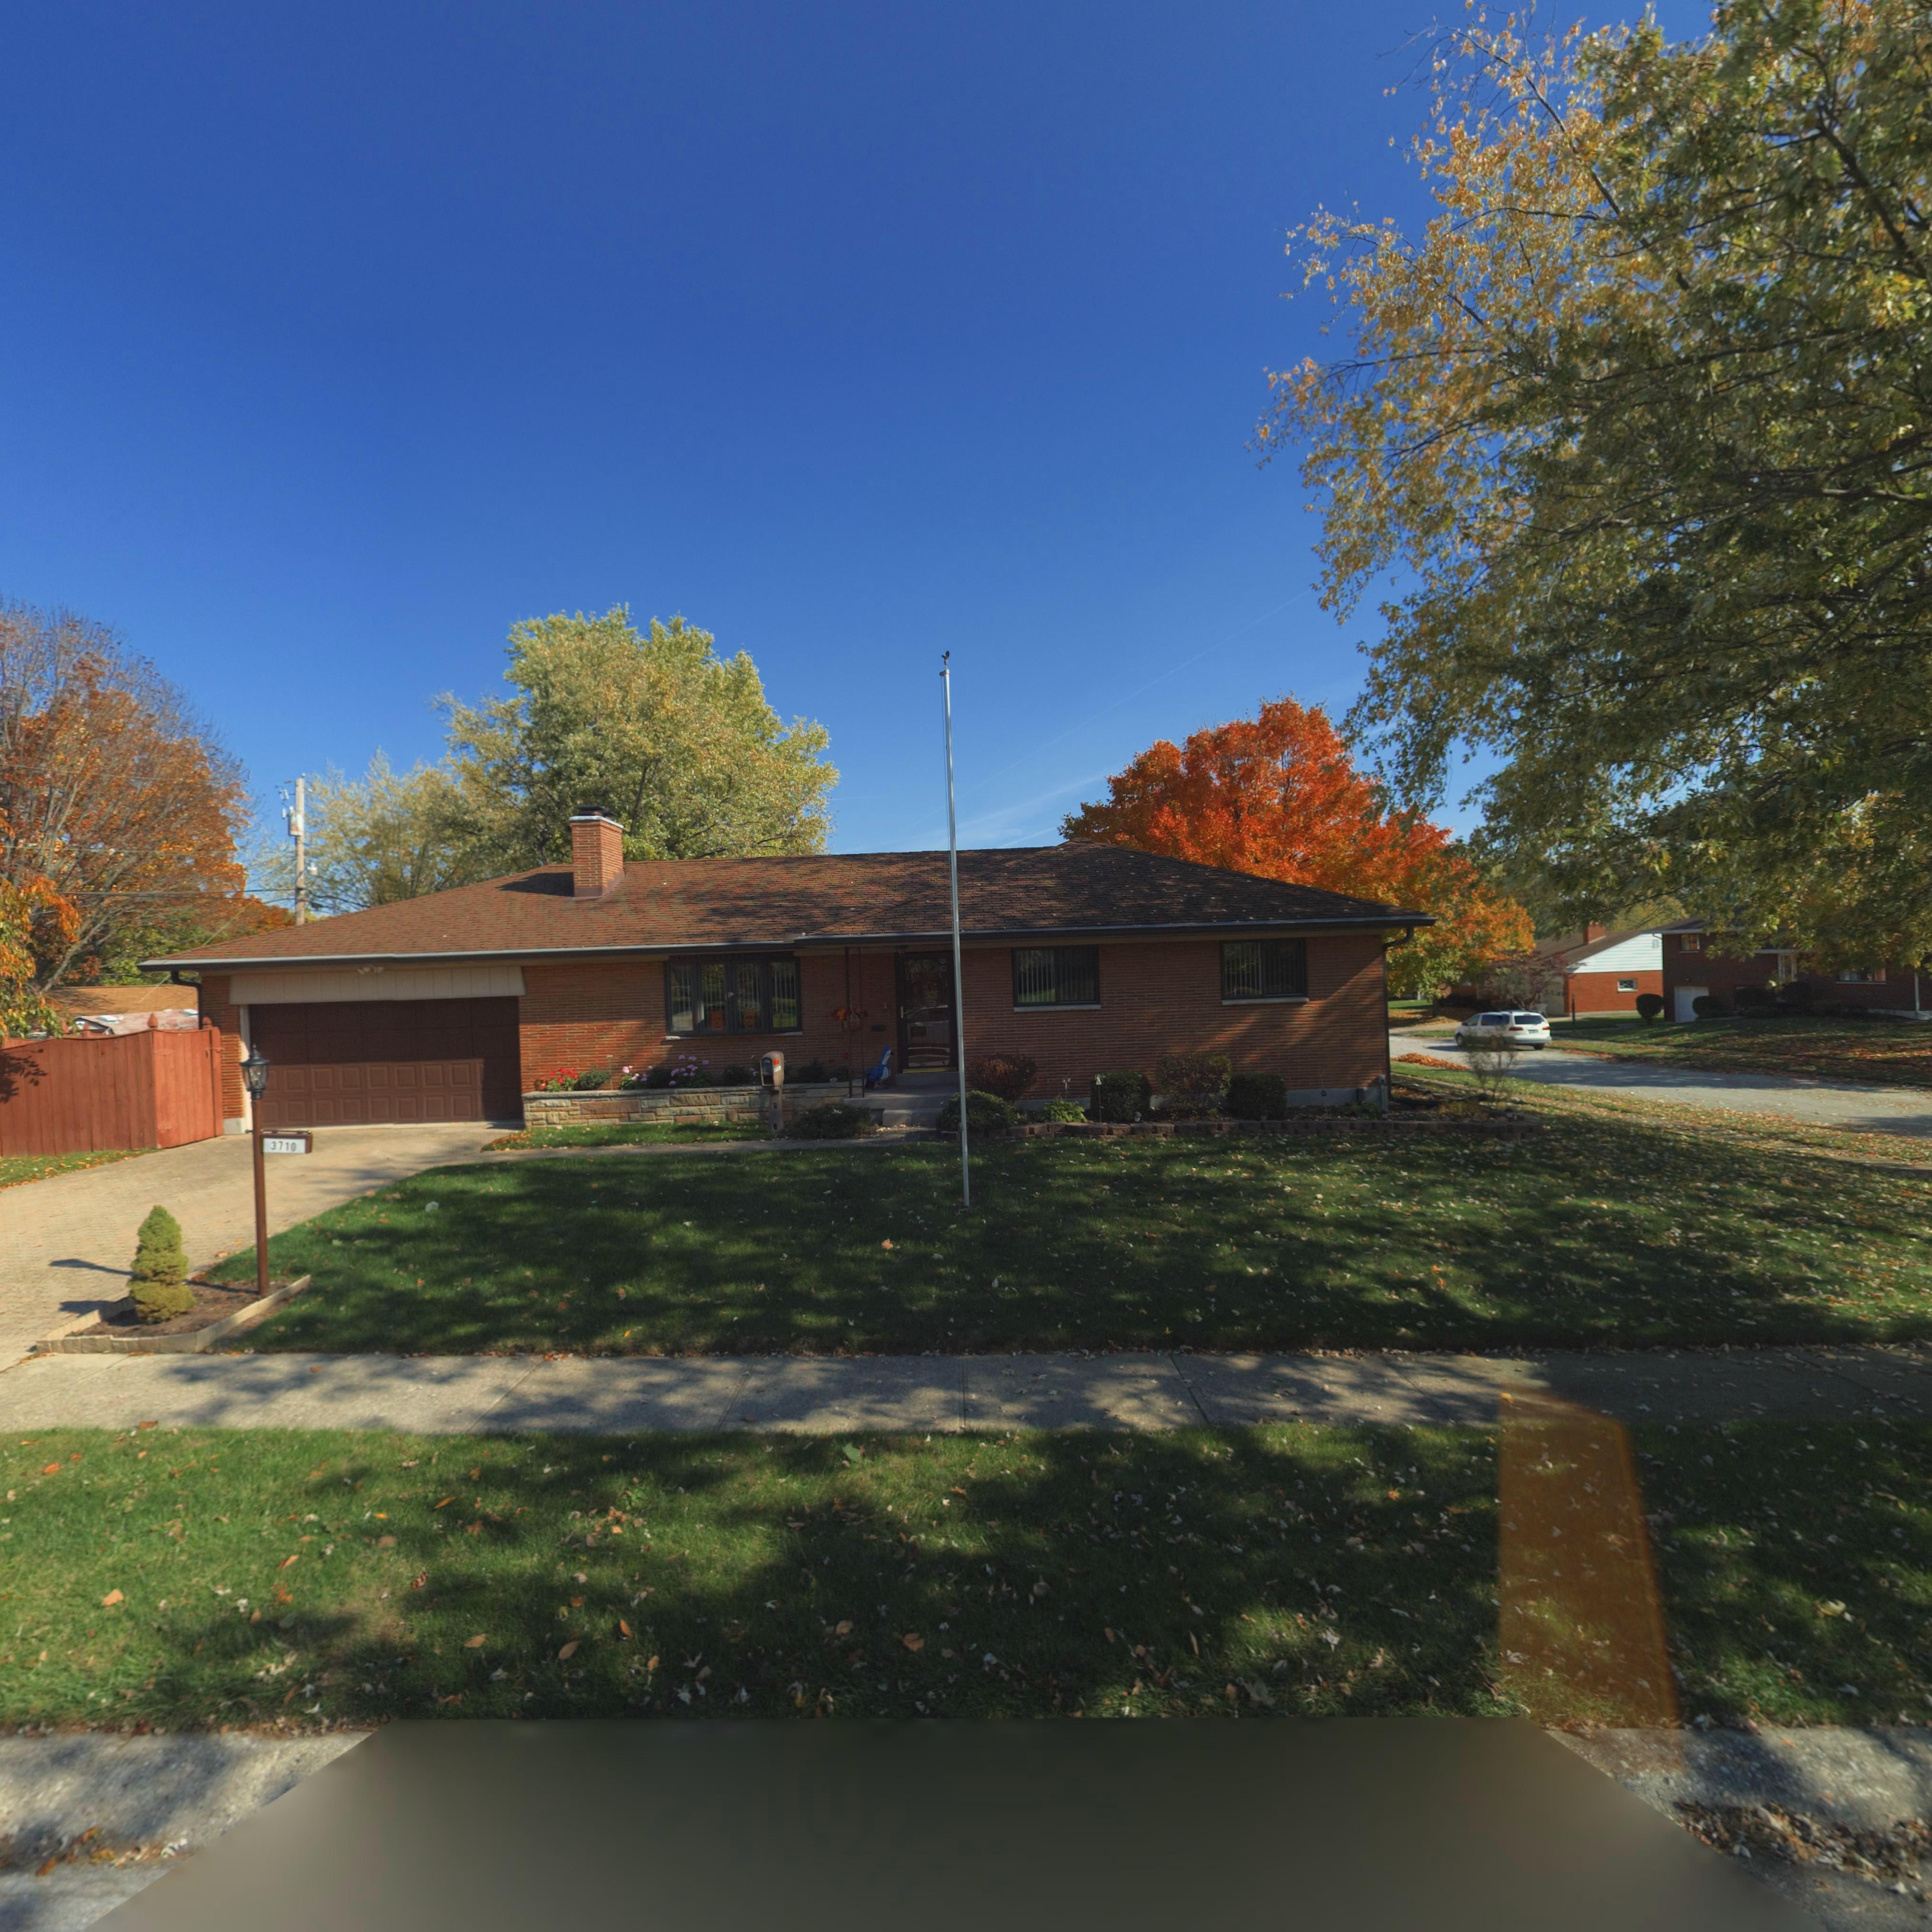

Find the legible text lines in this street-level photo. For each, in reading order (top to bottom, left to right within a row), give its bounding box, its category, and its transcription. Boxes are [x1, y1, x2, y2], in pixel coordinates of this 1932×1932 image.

[270, 1140, 297, 1151] StreetNumber: 3710